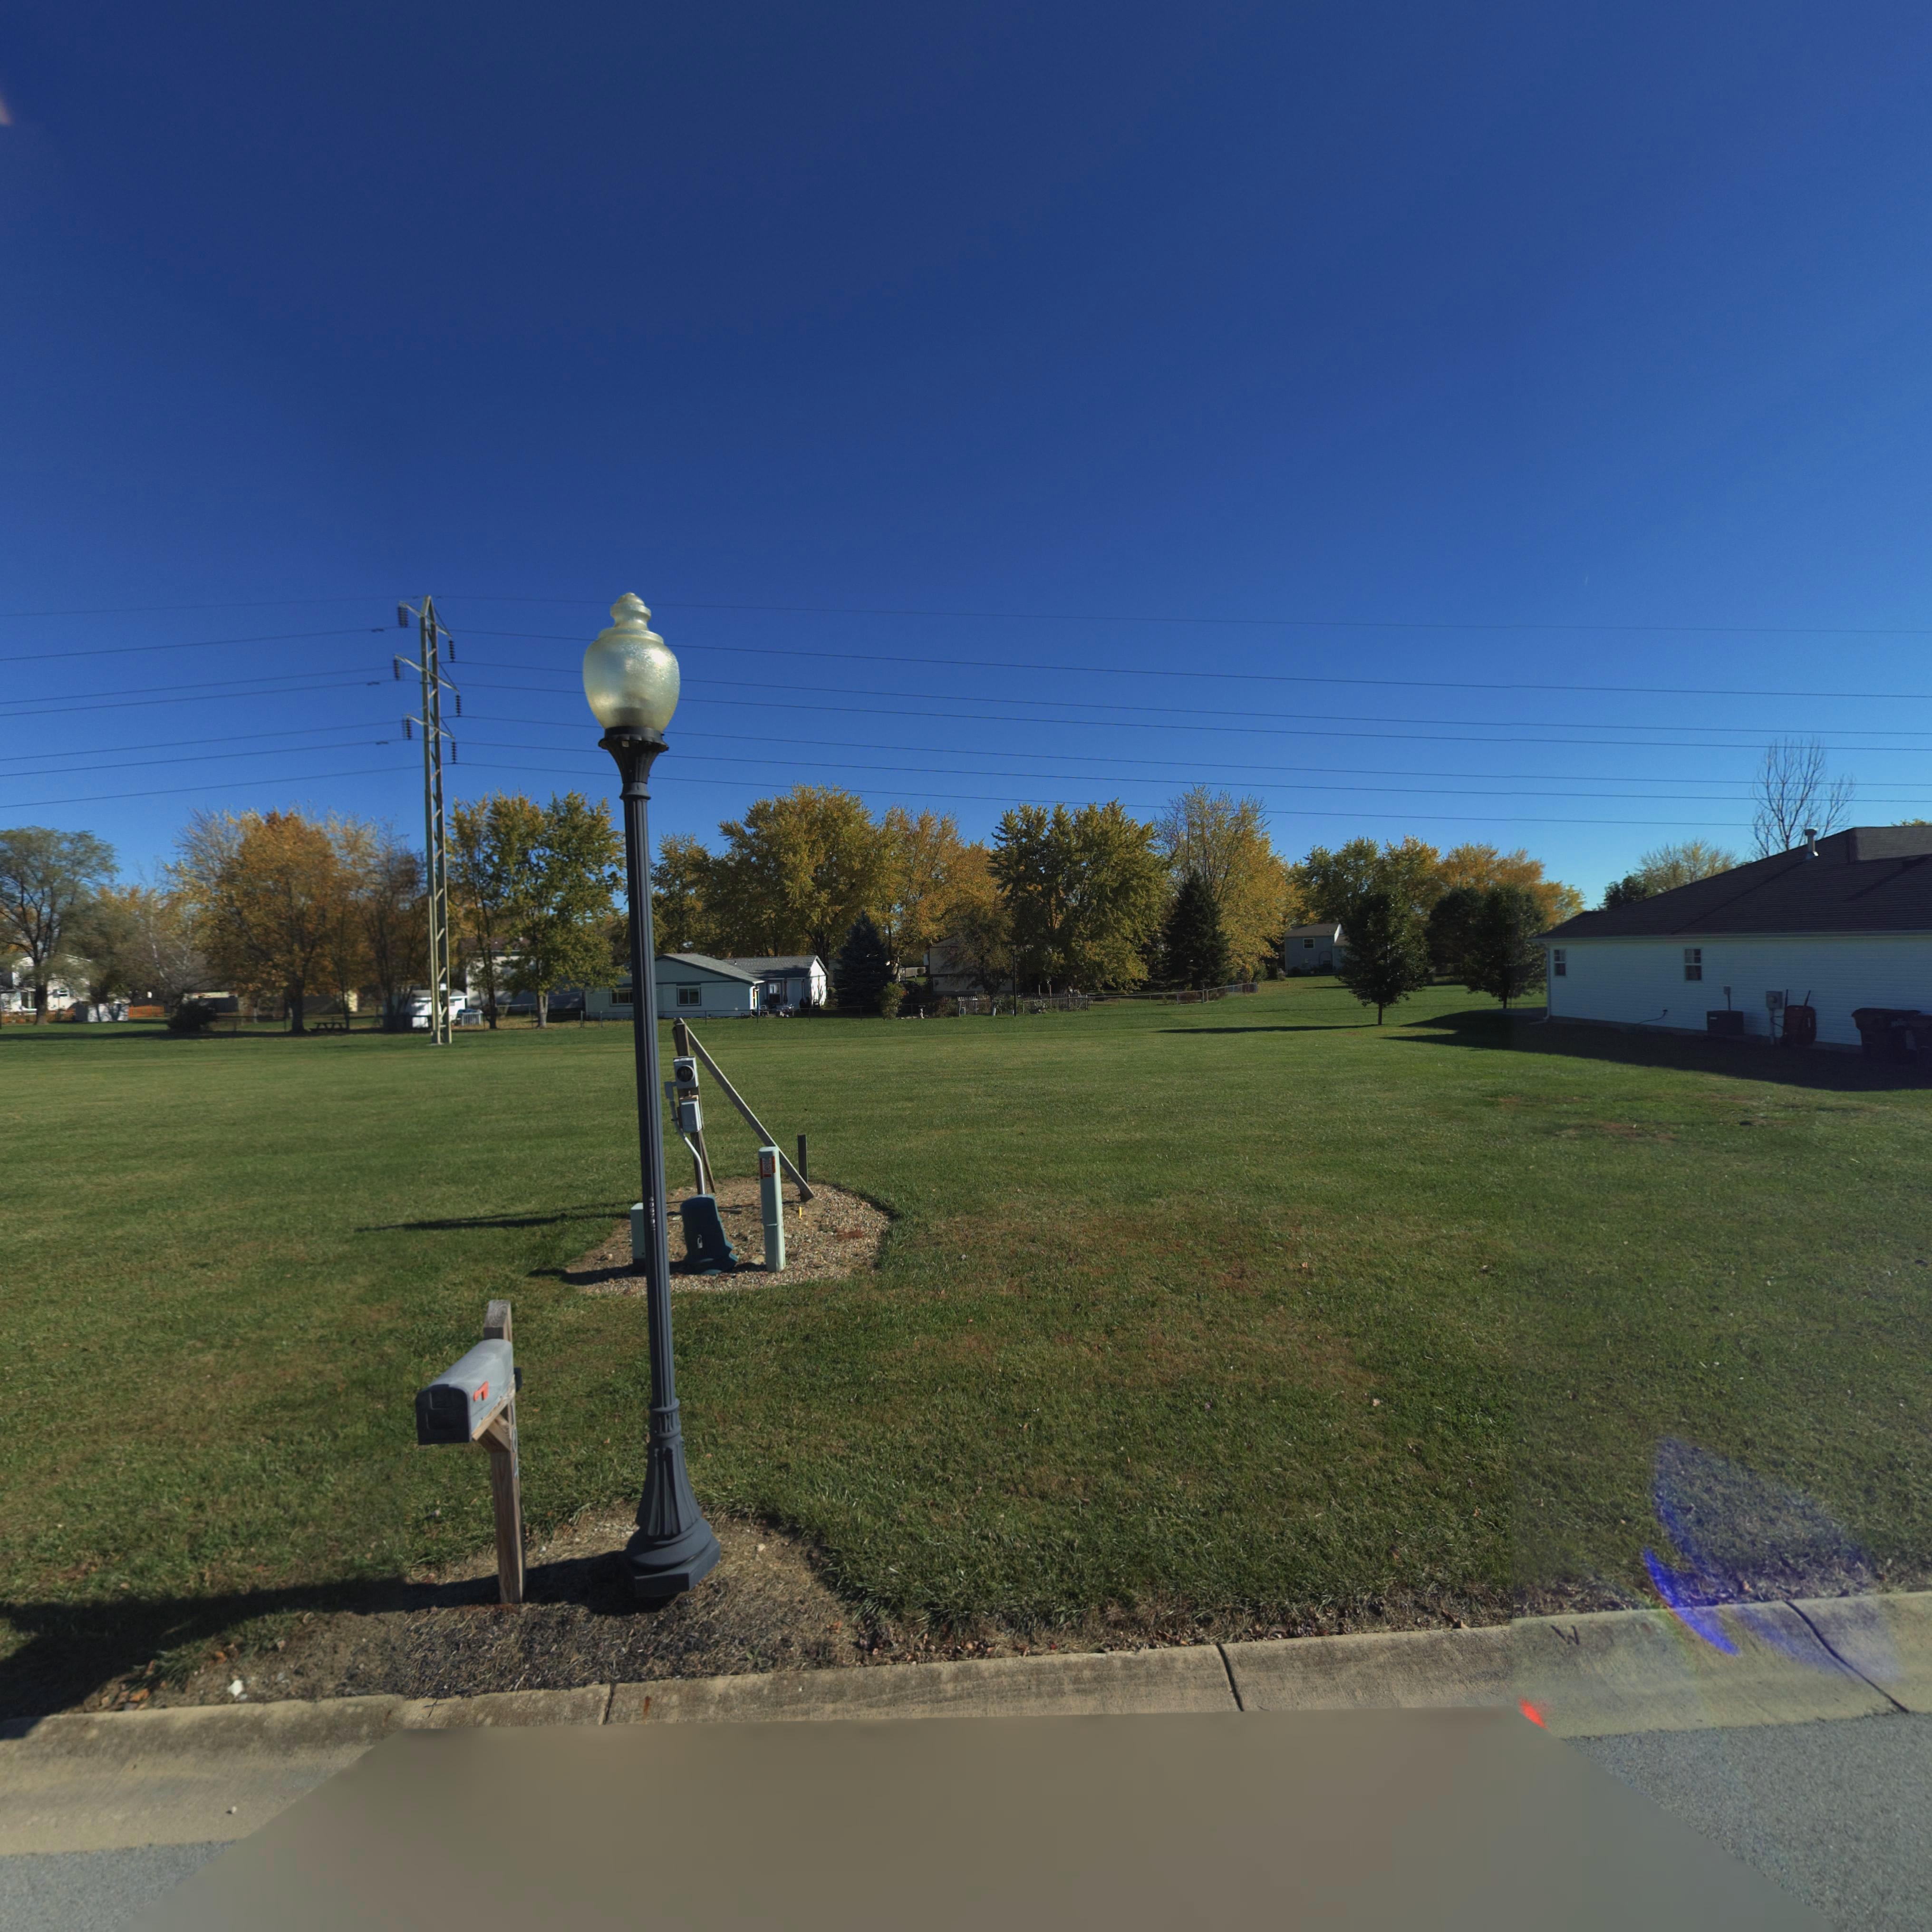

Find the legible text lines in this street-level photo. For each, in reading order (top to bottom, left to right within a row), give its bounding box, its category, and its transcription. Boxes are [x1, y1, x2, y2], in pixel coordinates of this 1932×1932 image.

[507, 1397, 521, 1482] StreetNumber: 104